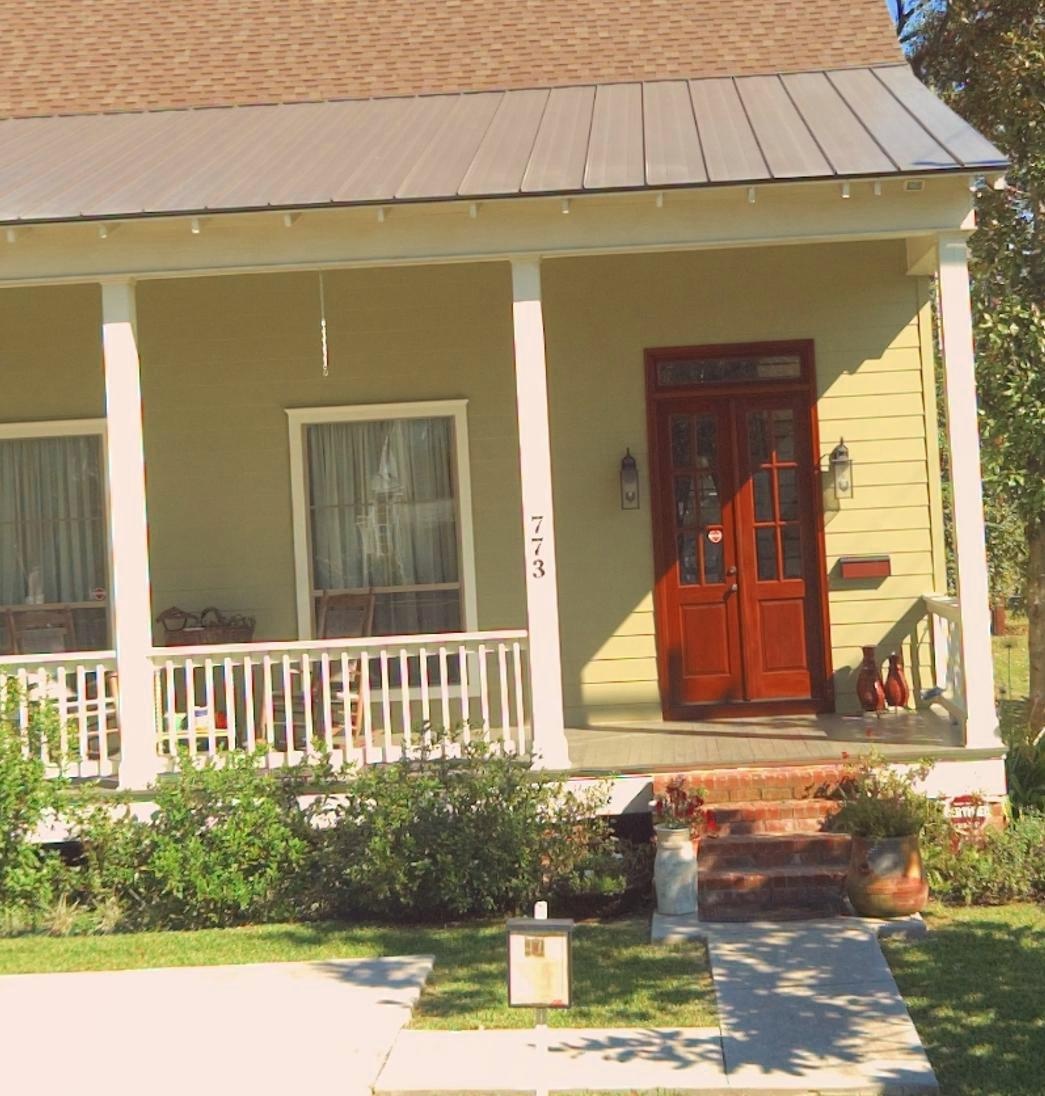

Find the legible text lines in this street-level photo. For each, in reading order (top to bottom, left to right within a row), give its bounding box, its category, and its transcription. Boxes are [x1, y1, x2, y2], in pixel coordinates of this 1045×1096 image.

[531, 514, 546, 580] StreetNumber: 773